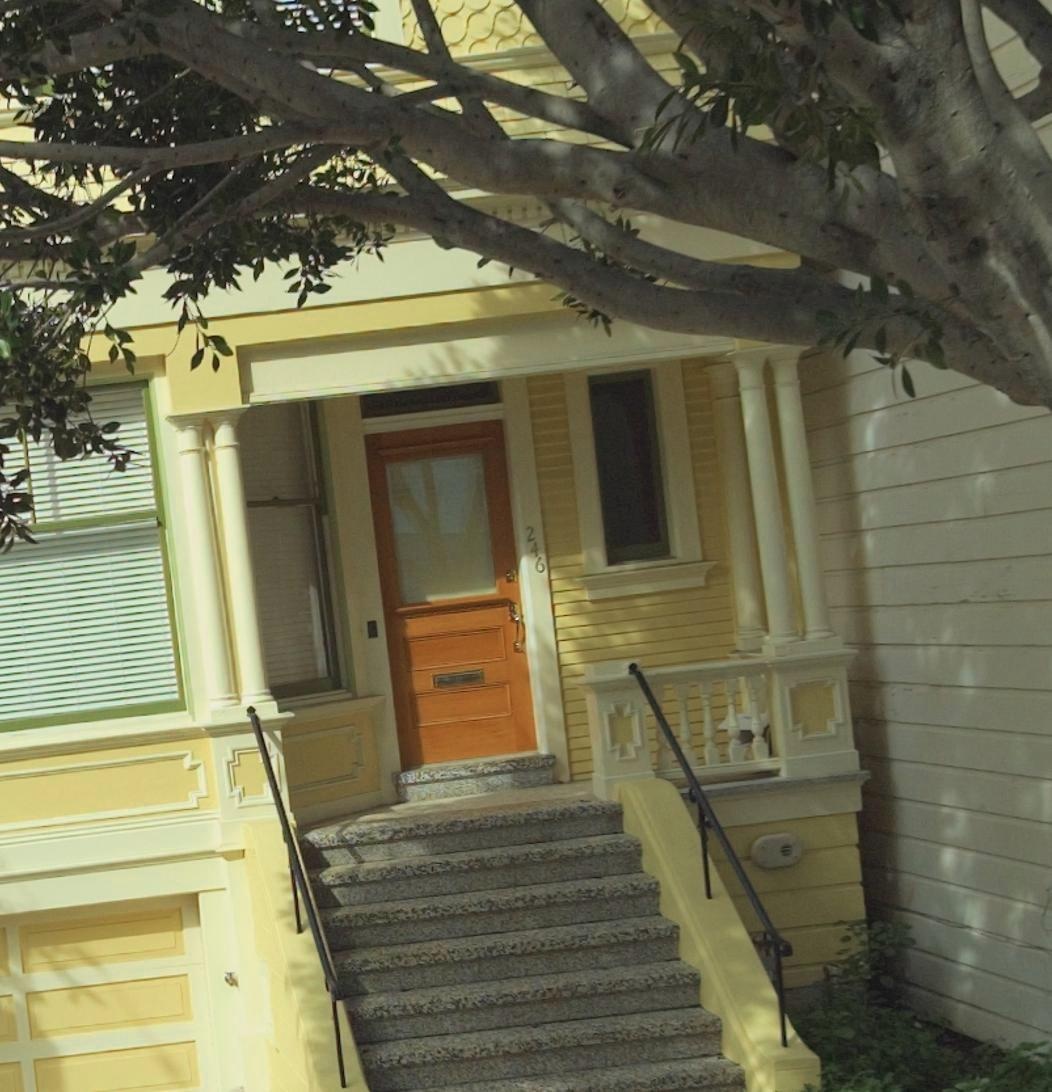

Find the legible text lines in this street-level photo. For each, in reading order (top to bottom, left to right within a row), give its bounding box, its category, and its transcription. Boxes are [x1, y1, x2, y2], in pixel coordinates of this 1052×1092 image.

[524, 526, 548, 574] StreetNumber: 246